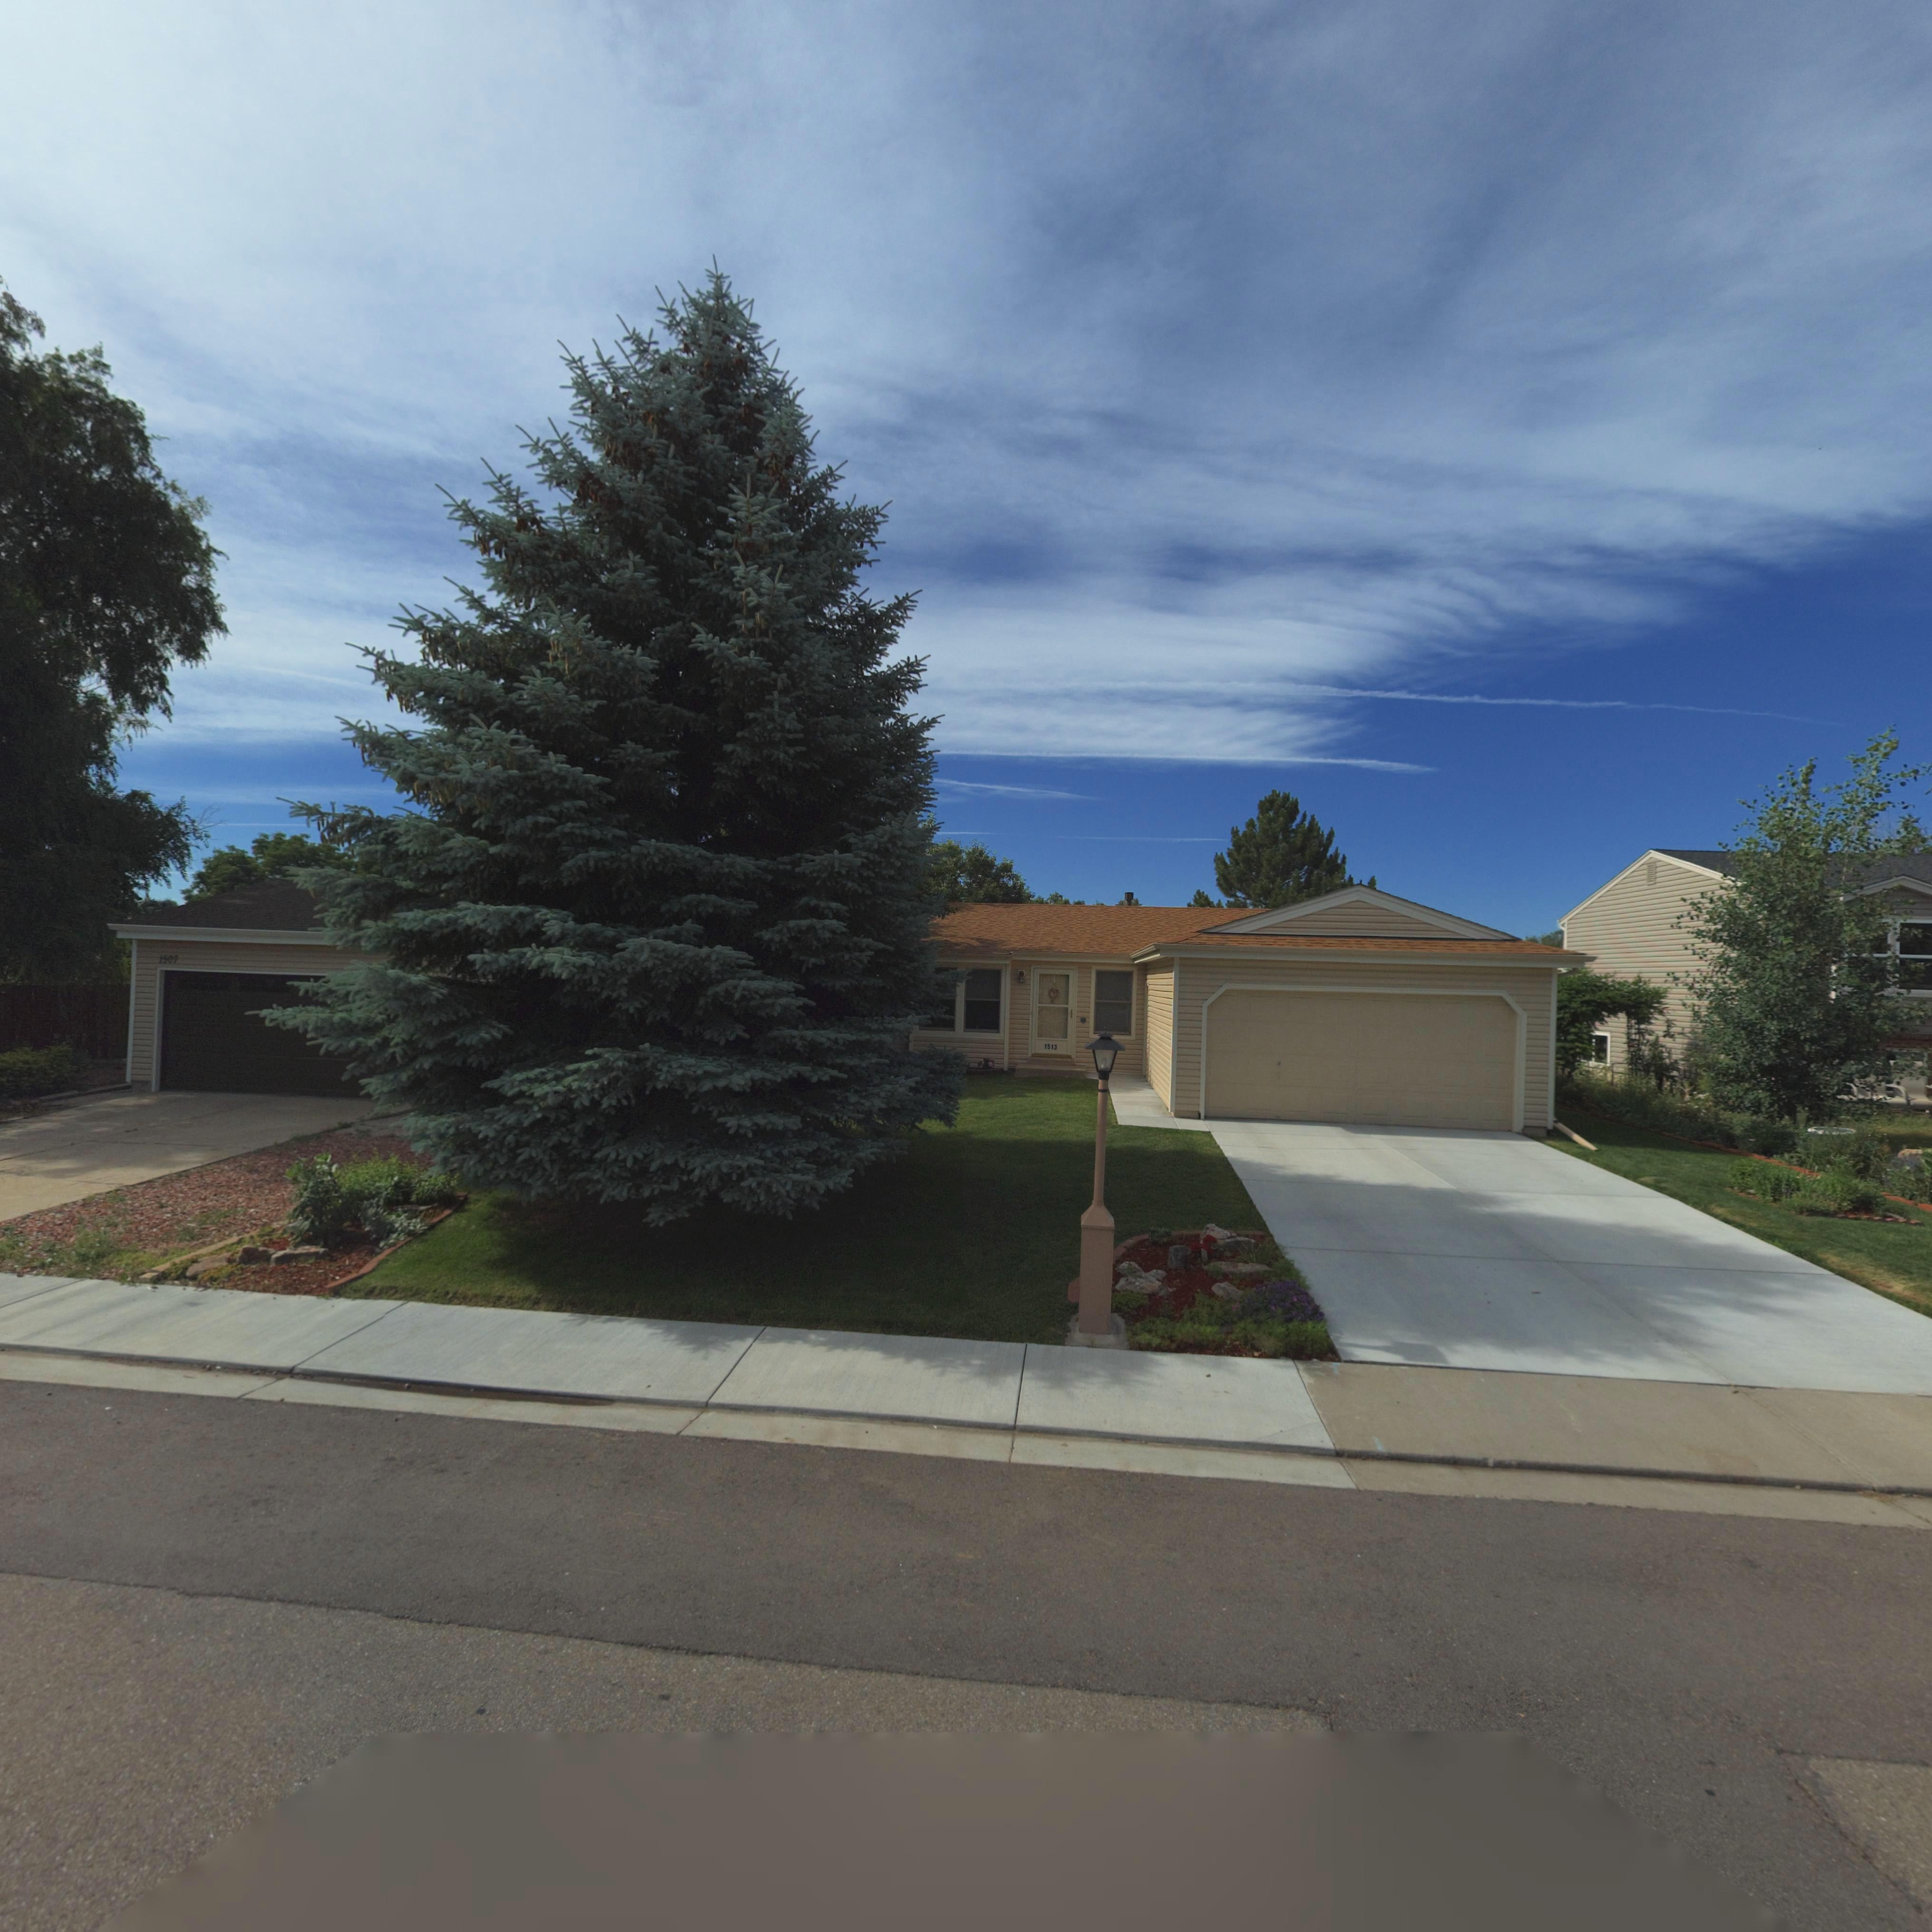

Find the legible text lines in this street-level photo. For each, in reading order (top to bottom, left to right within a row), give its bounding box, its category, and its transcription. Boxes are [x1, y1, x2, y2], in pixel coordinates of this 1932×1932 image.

[158, 955, 178, 964] StreetNumber: 1507
[1044, 1043, 1057, 1050] StreetNumber: 1513